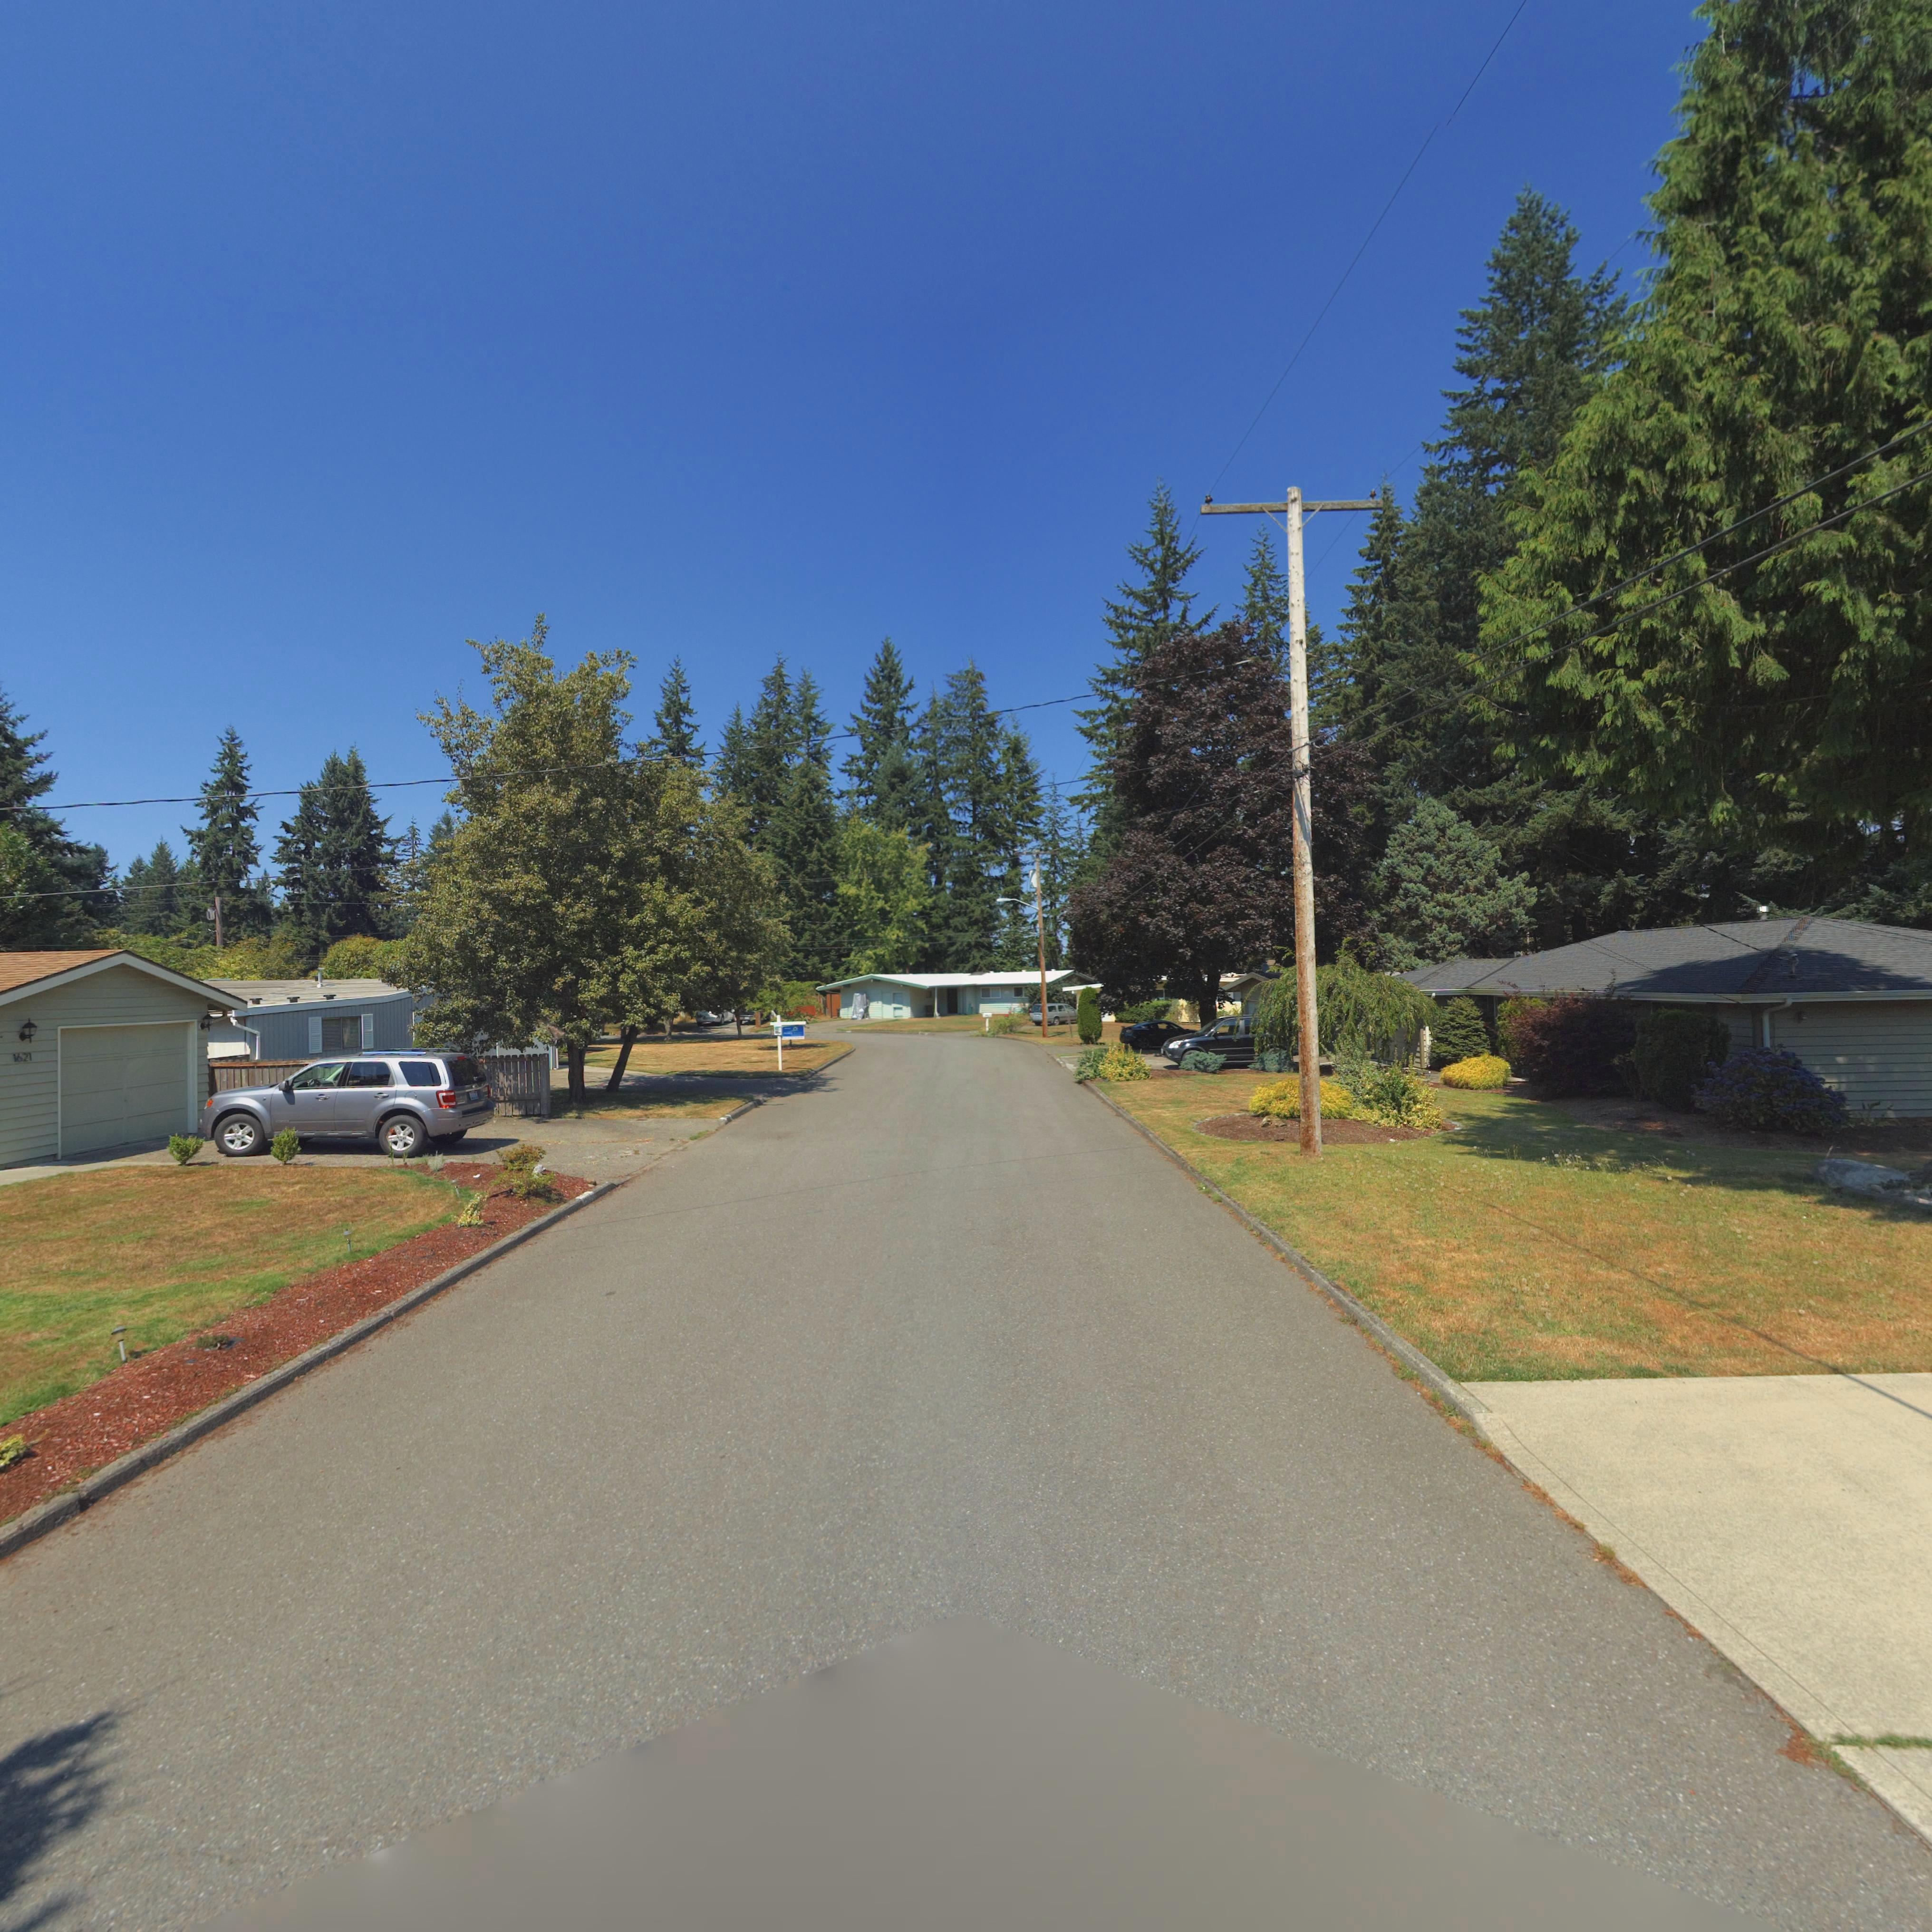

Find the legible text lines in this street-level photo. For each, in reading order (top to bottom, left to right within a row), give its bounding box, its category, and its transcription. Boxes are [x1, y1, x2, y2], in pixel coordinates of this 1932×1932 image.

[12, 1052, 32, 1062] StreetNumber: 1621